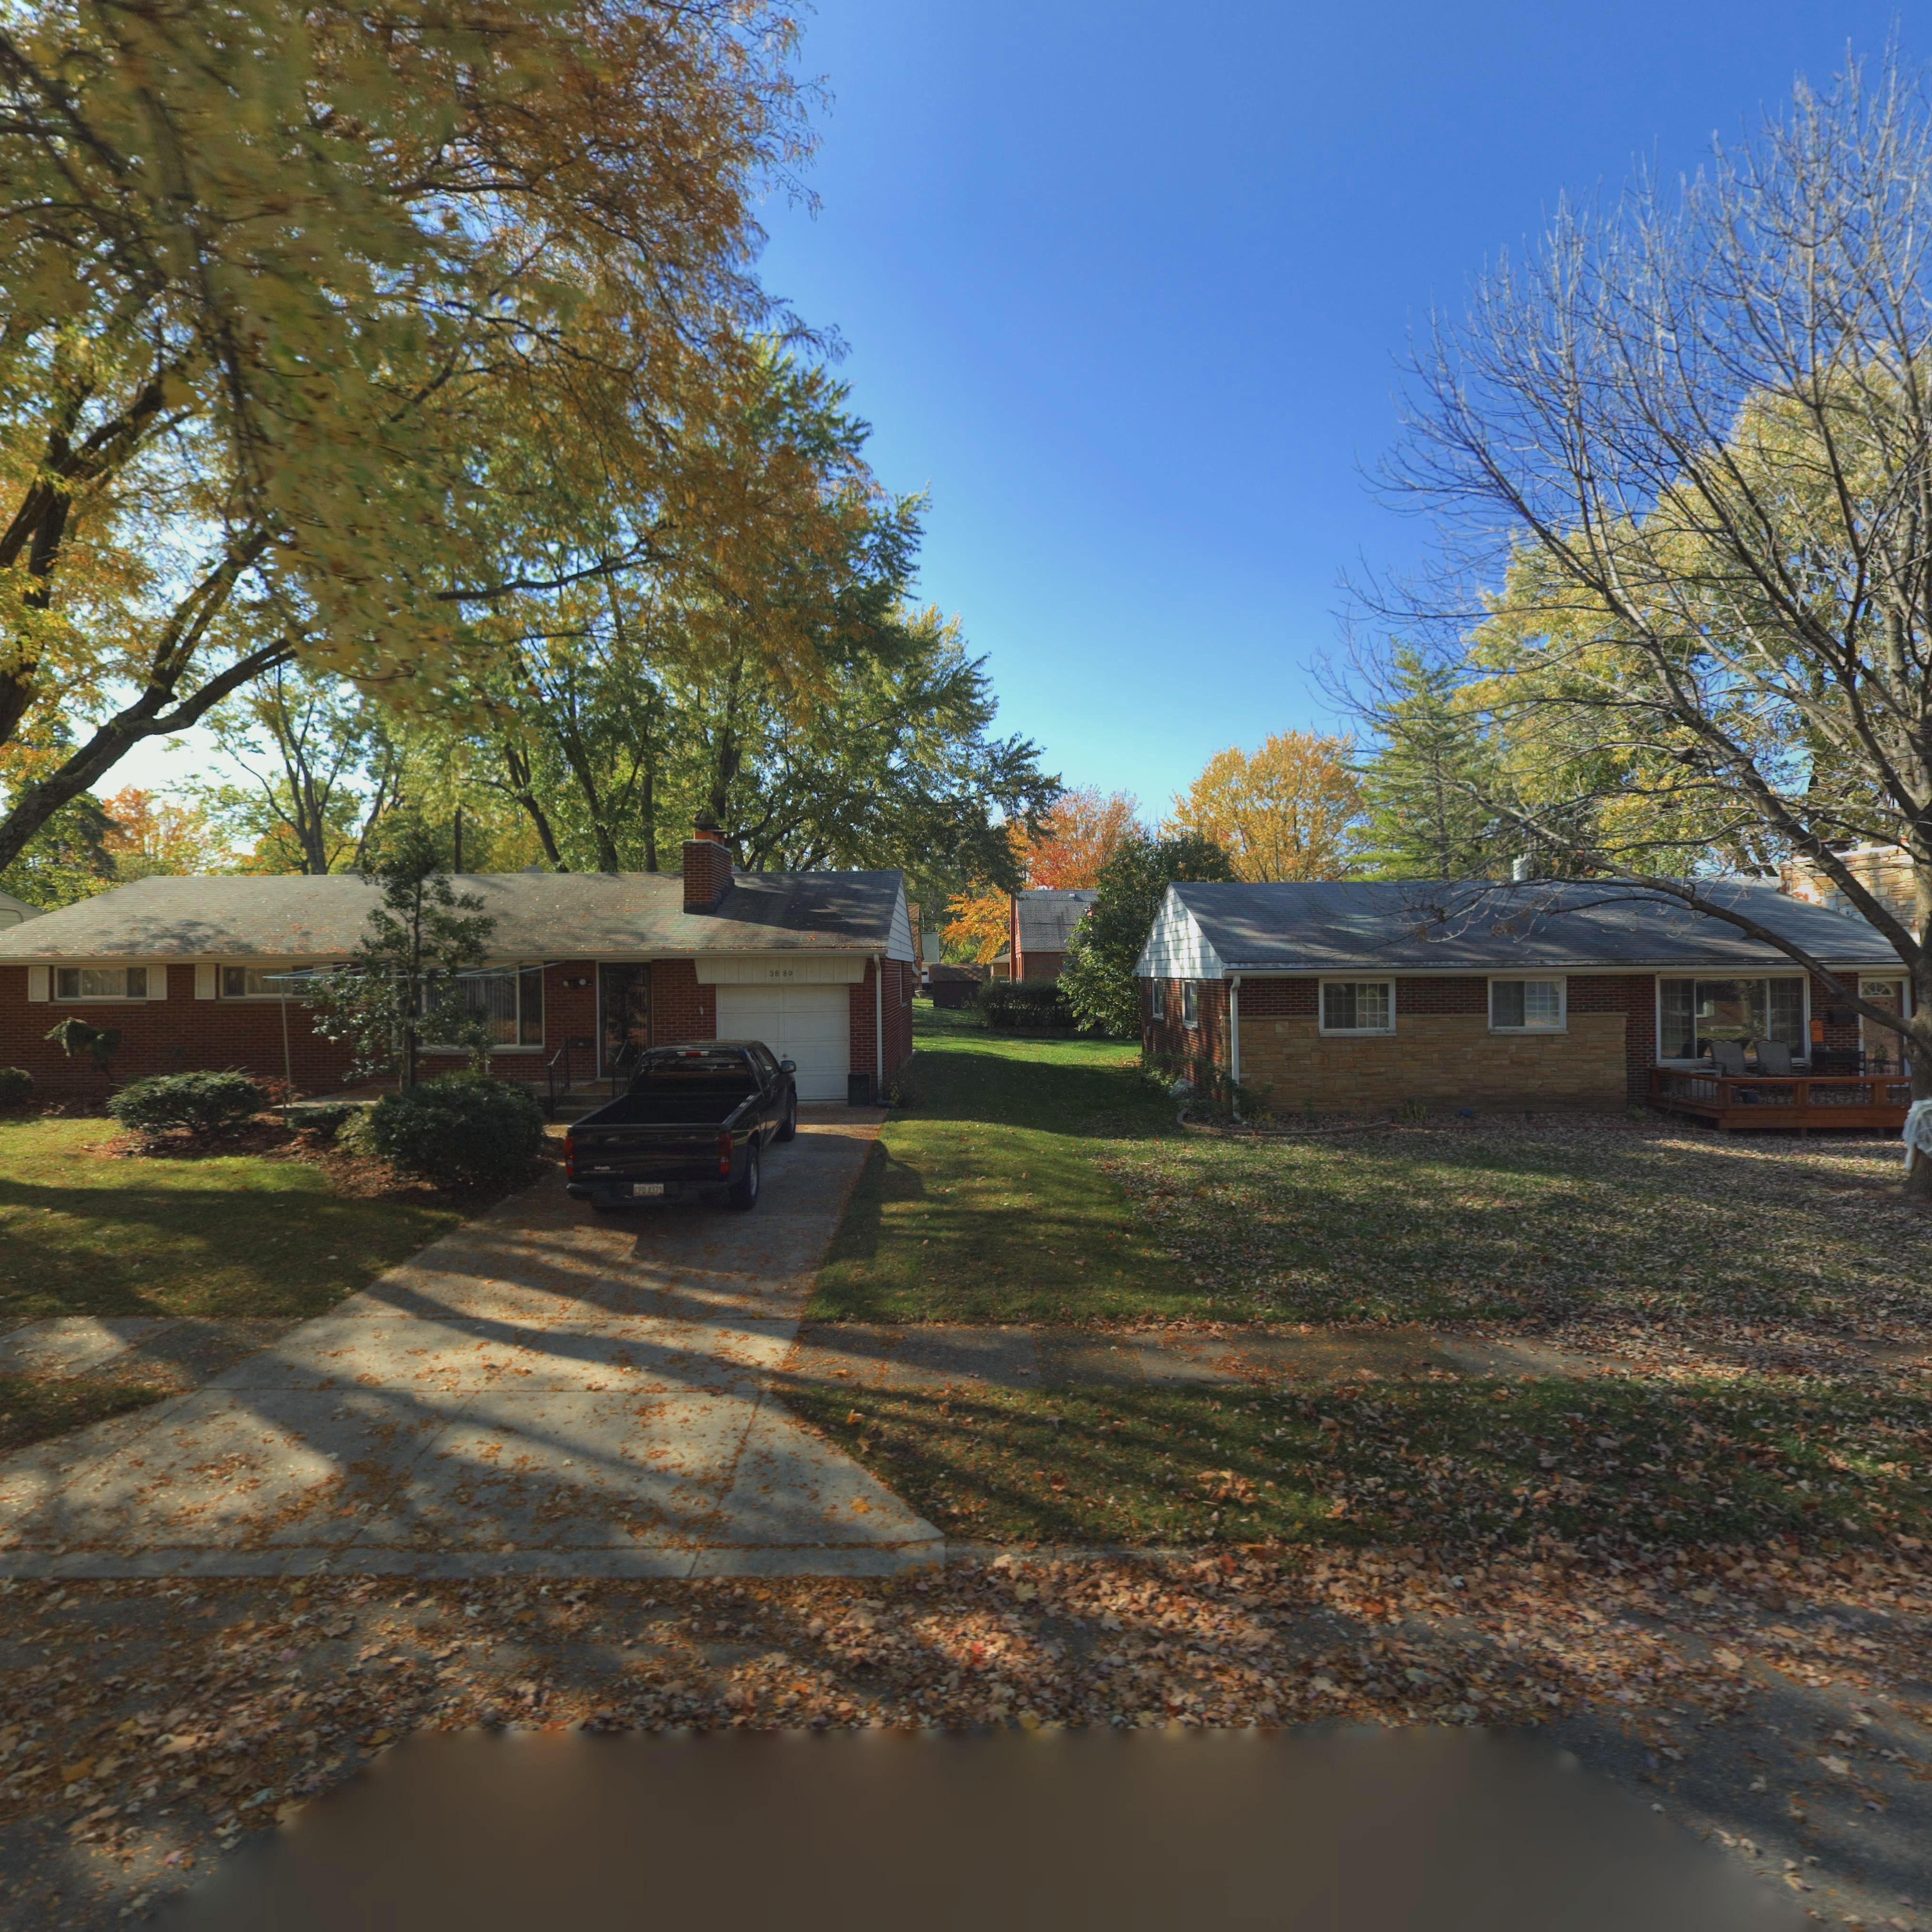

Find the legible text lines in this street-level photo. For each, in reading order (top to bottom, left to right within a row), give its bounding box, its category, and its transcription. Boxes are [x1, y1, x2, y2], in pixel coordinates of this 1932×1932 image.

[769, 970, 793, 977] StreetNumber: 38 89
[634, 1185, 662, 1195] None: CP* 437*